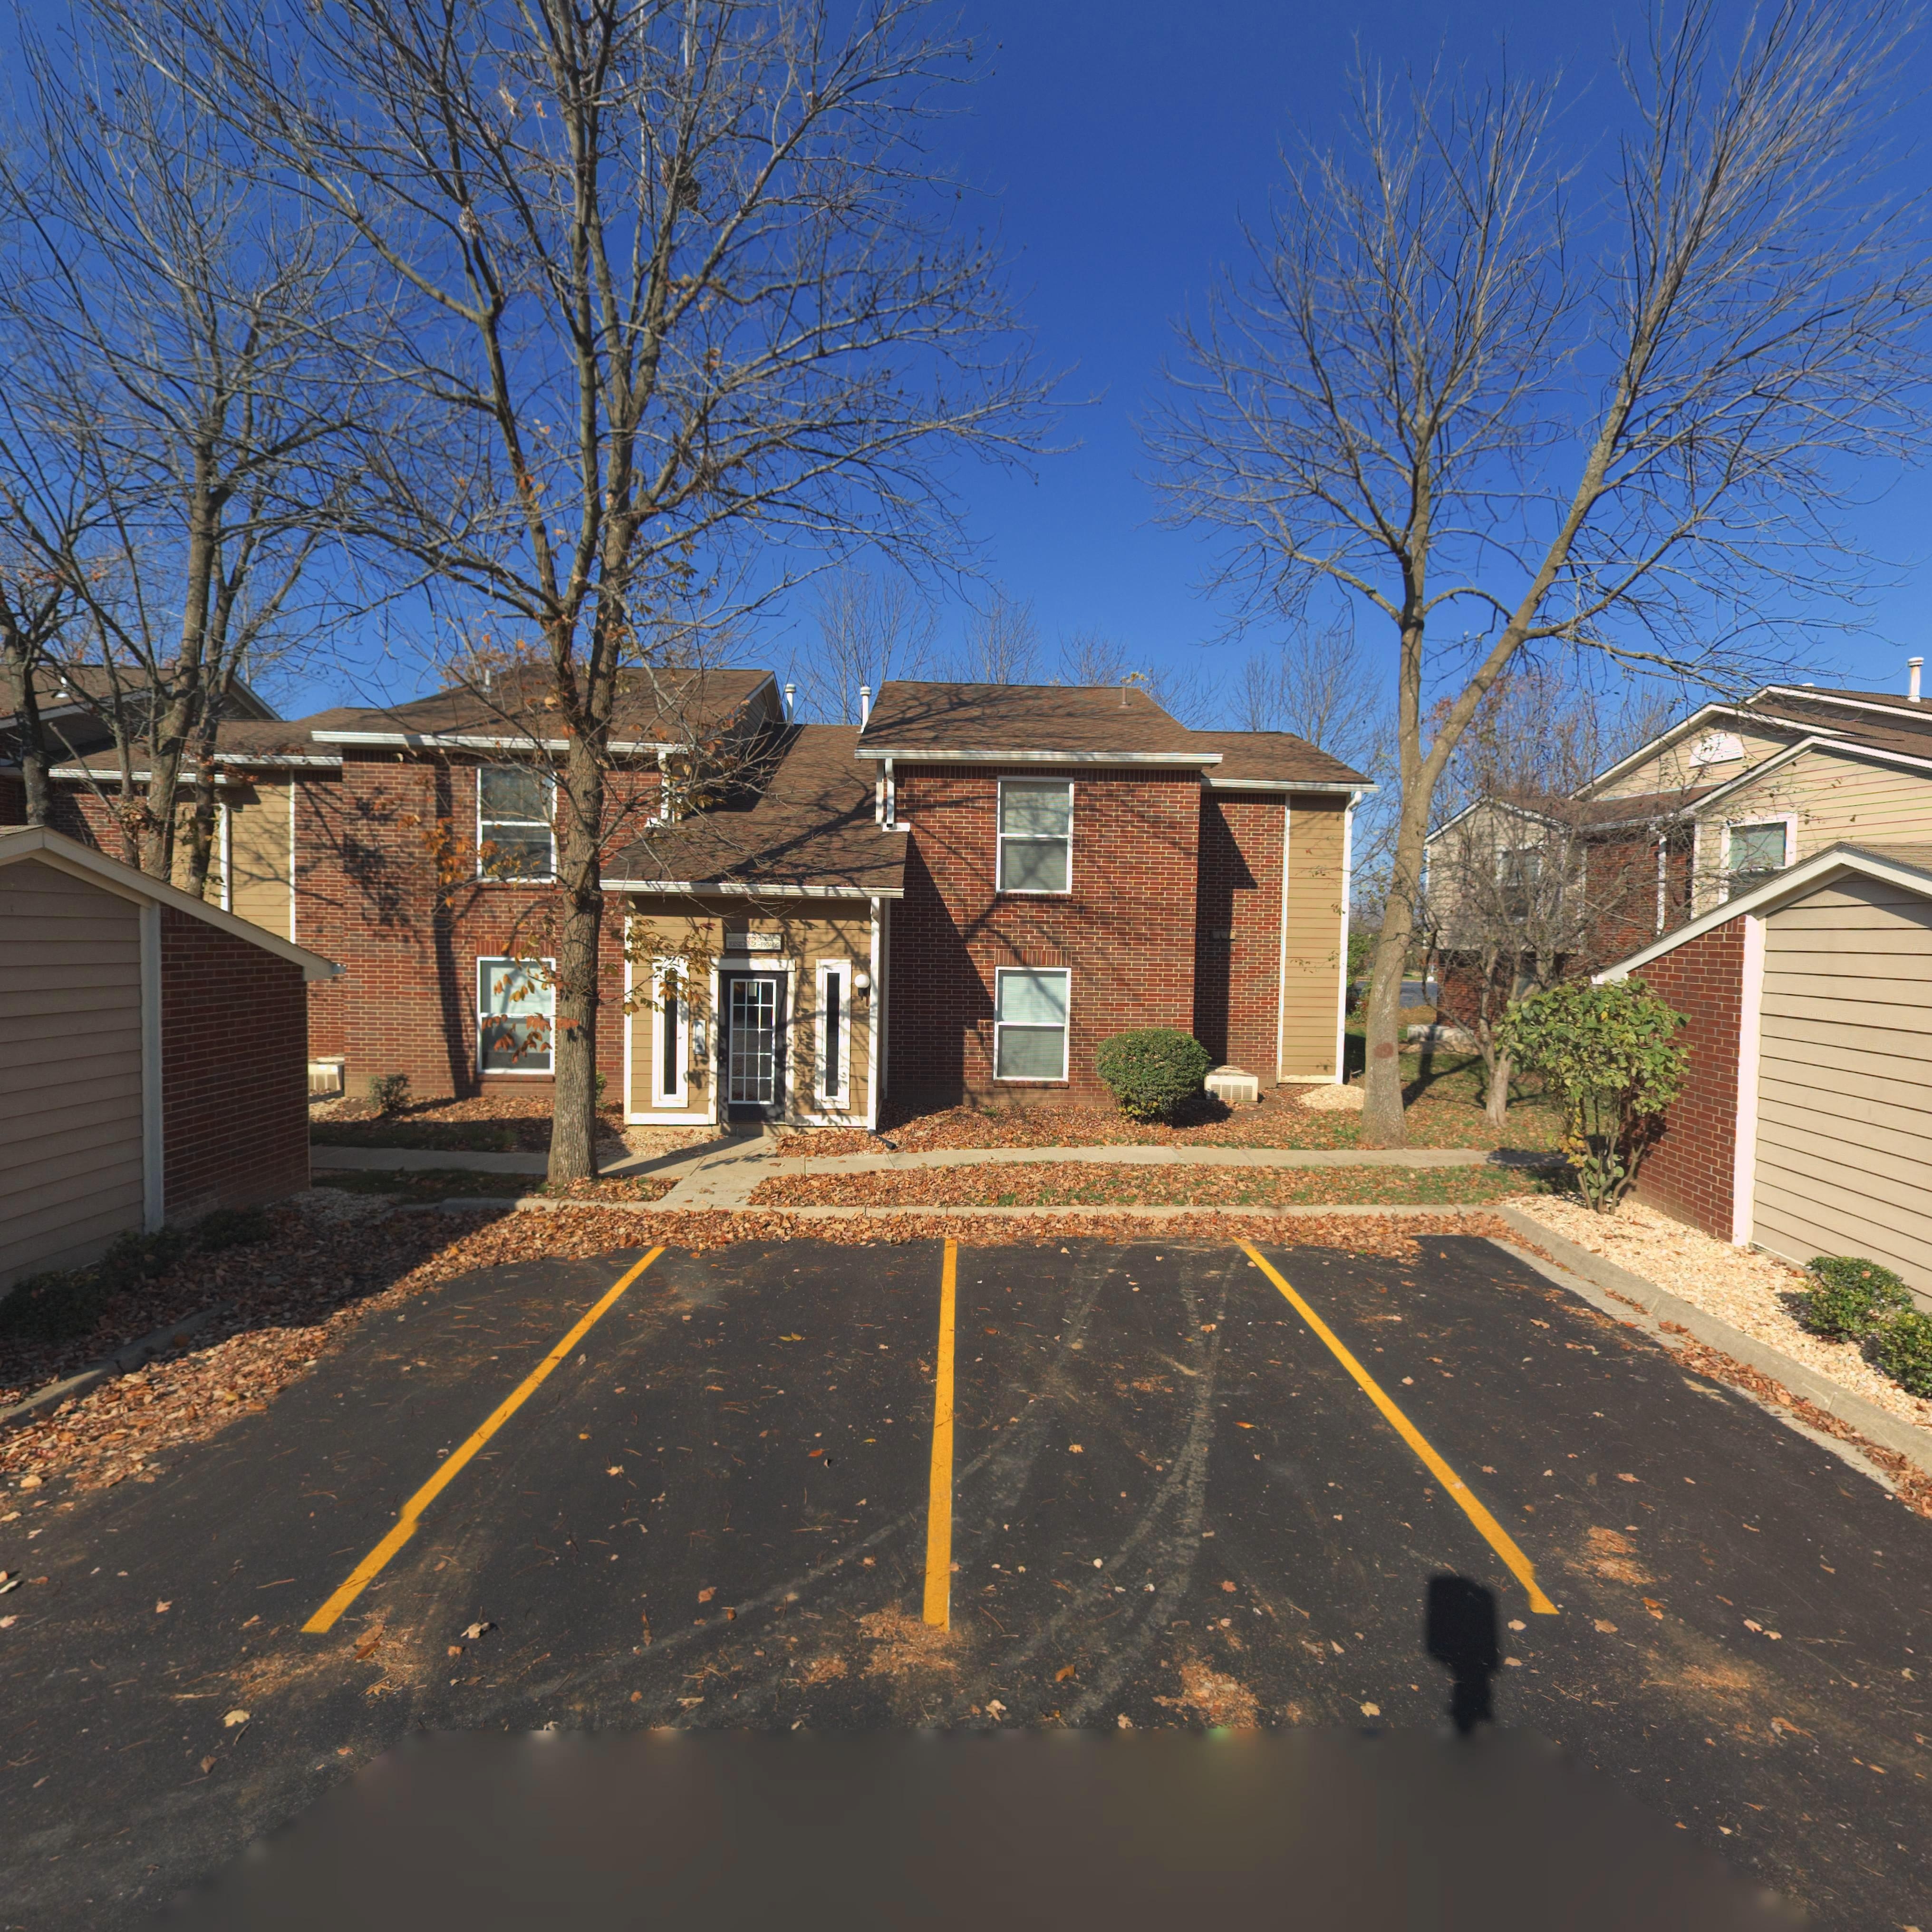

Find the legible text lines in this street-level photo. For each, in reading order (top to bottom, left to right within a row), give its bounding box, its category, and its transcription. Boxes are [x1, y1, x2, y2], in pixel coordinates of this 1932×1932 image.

[744, 933, 763, 943] StreetNumber: 653